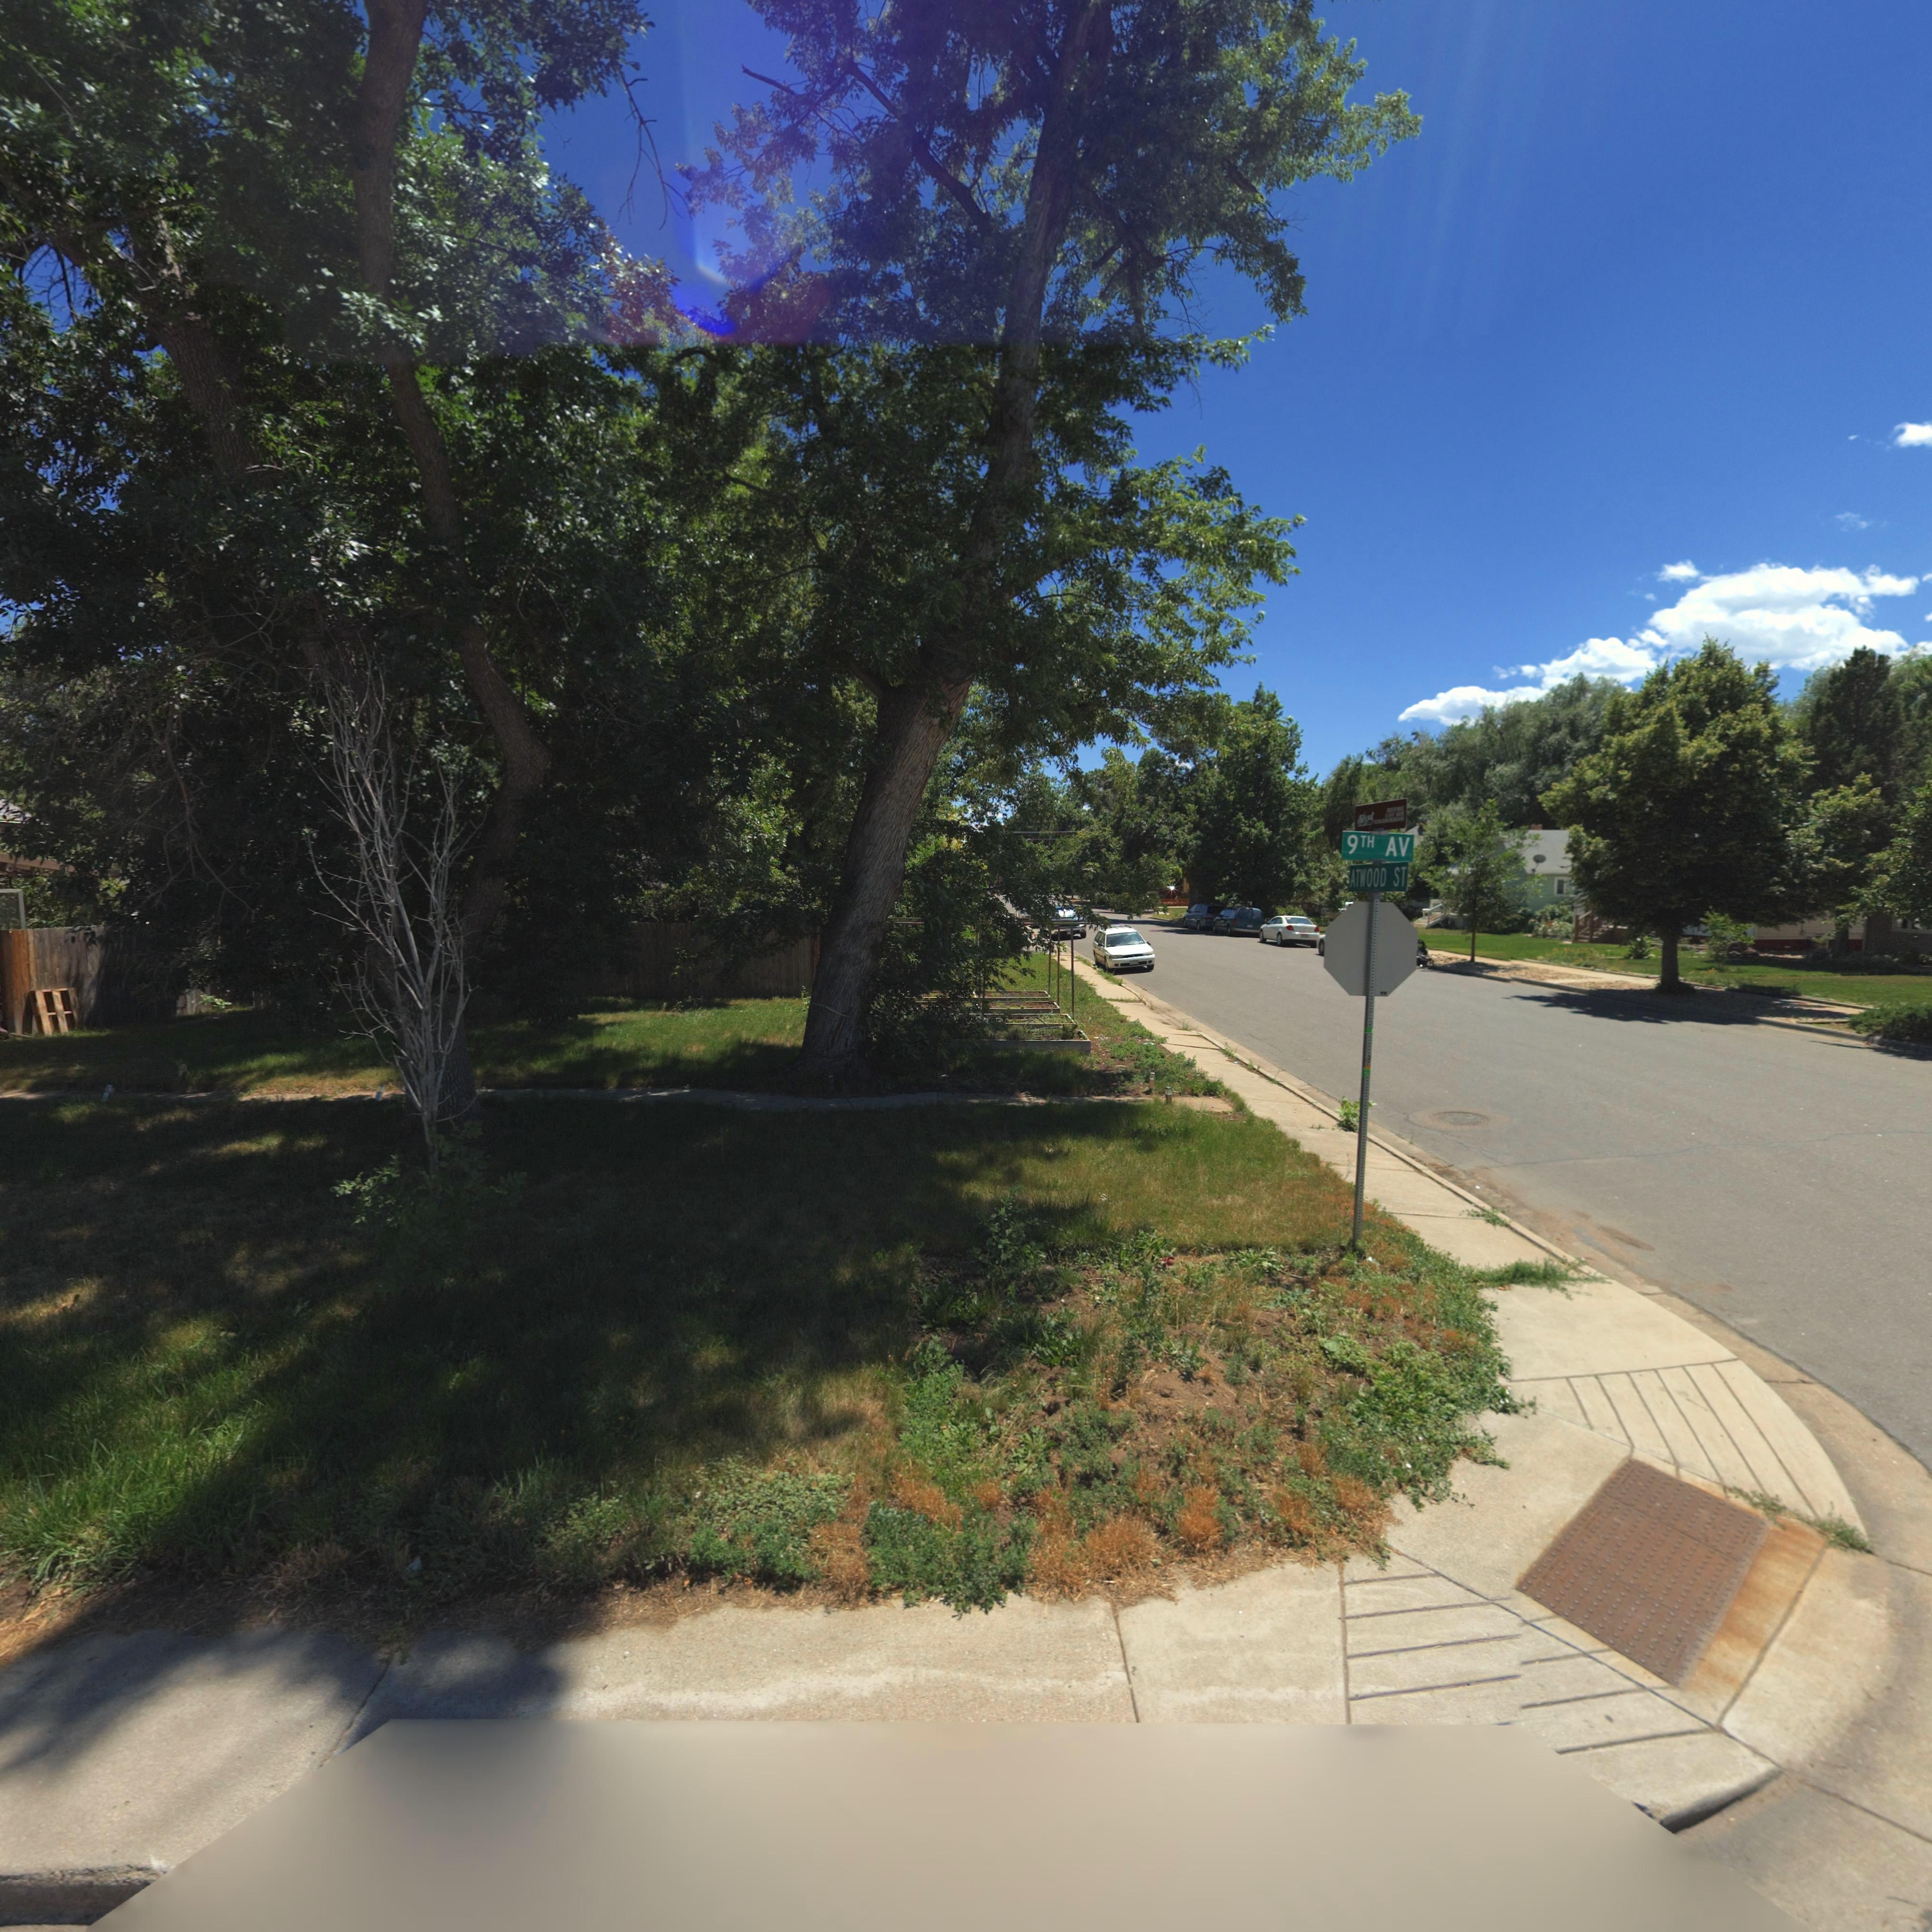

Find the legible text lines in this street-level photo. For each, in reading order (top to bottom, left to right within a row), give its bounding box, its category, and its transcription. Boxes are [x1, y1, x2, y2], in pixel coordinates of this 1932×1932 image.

[1346, 833, 1410, 857] StreetName: 9TH AV
[1349, 866, 1407, 887] StreetName: ATWOOD ST